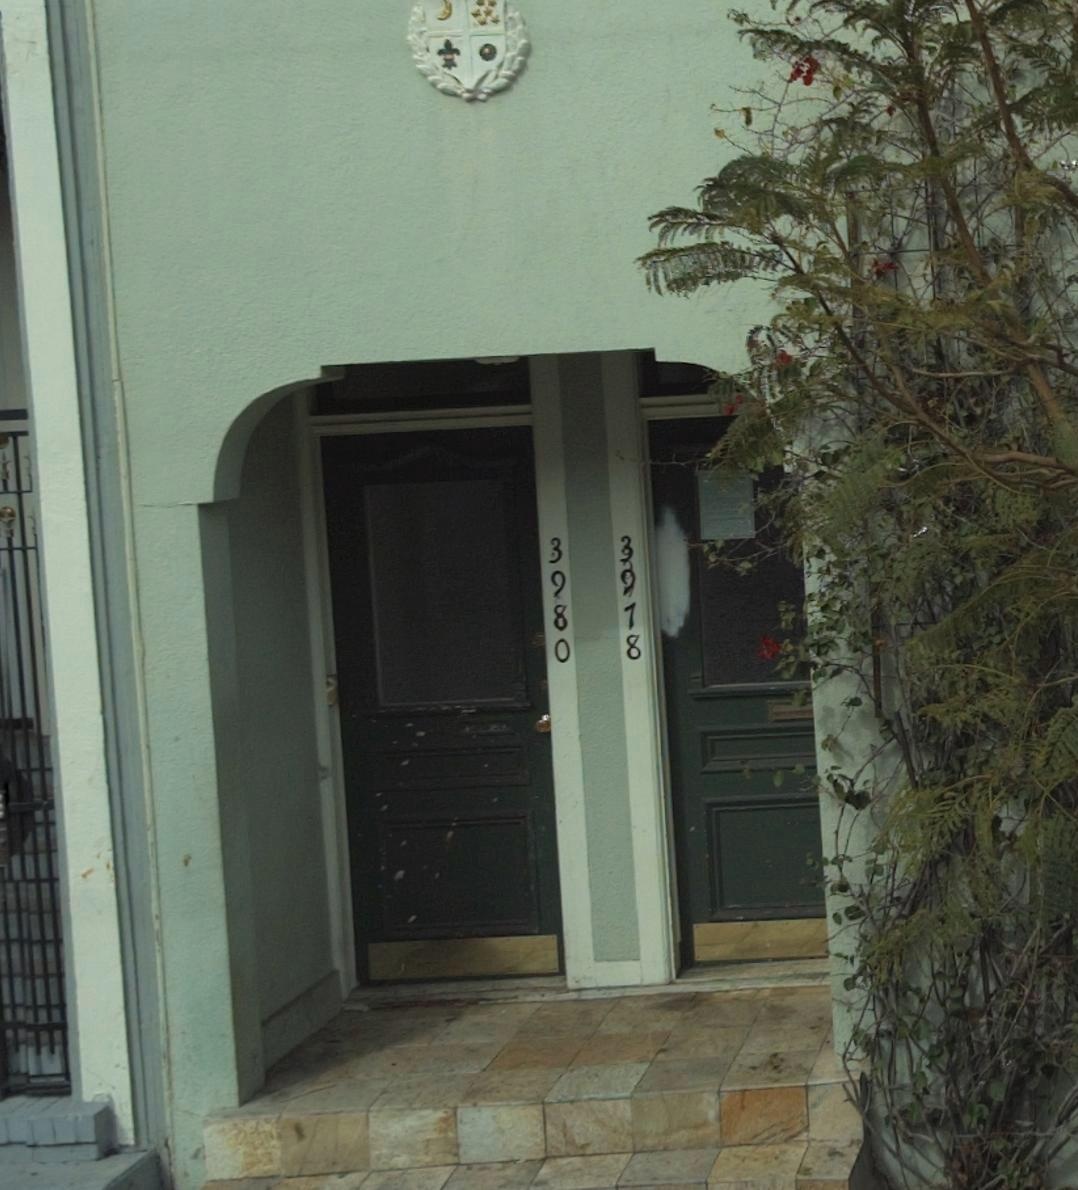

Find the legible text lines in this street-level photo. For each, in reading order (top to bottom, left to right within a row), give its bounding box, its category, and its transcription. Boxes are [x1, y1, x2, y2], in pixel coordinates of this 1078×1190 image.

[546, 536, 571, 665] StreetNumber: 3980
[615, 533, 644, 661] StreetNumber: 3978